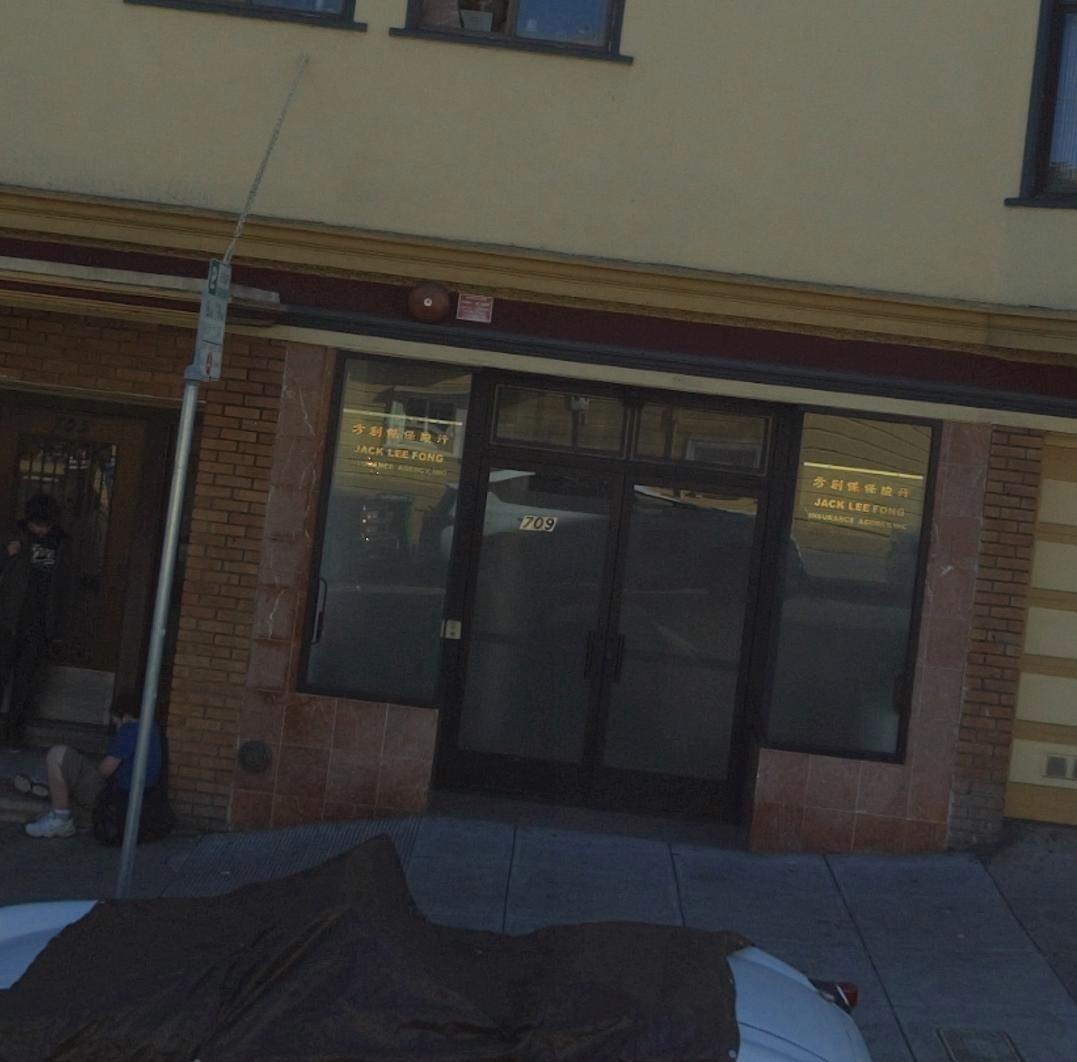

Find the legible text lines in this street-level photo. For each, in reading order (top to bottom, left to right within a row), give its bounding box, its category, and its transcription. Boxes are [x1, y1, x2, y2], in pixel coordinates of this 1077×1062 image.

[207, 265, 220, 290] None: 2
[351, 443, 446, 464] None: JACK LEE FONG
[812, 496, 907, 518] None: JACK LEE FONG
[520, 516, 556, 531] StreetNumber: 709